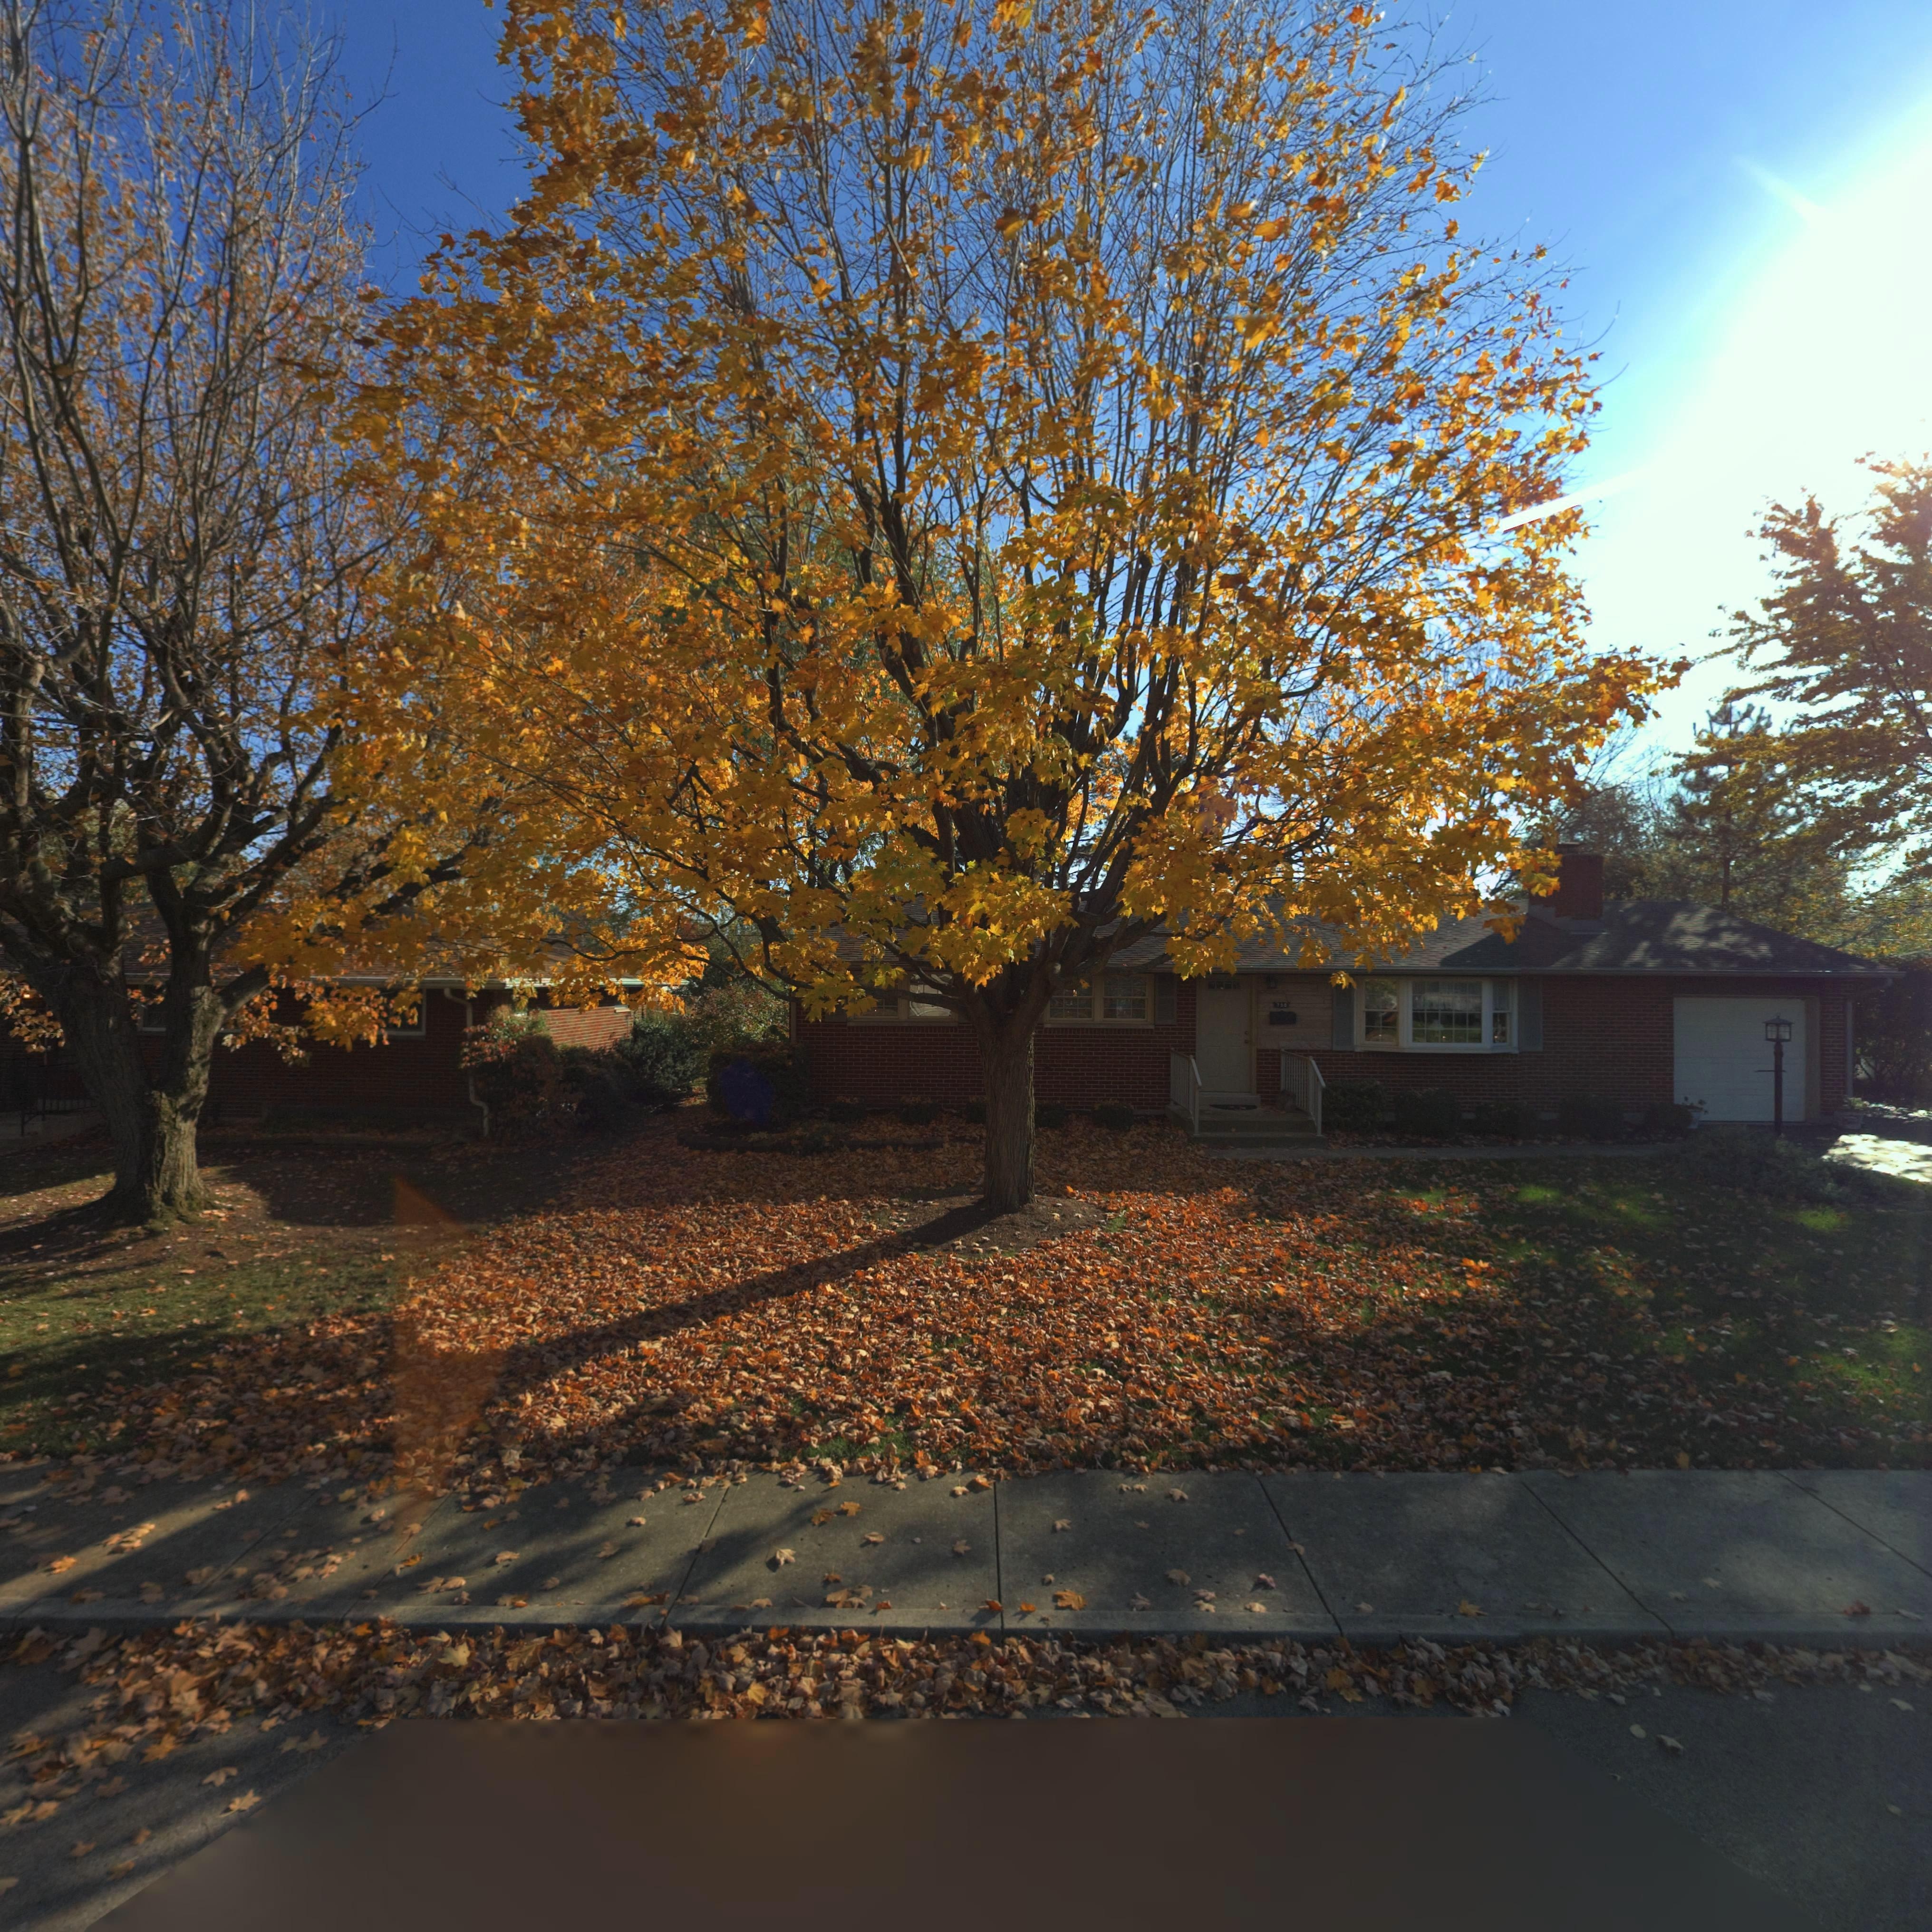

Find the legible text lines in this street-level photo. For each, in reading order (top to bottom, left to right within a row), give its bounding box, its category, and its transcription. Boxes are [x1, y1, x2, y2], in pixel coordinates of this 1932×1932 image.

[1275, 1002, 1288, 1008] StreetNumber: 7**